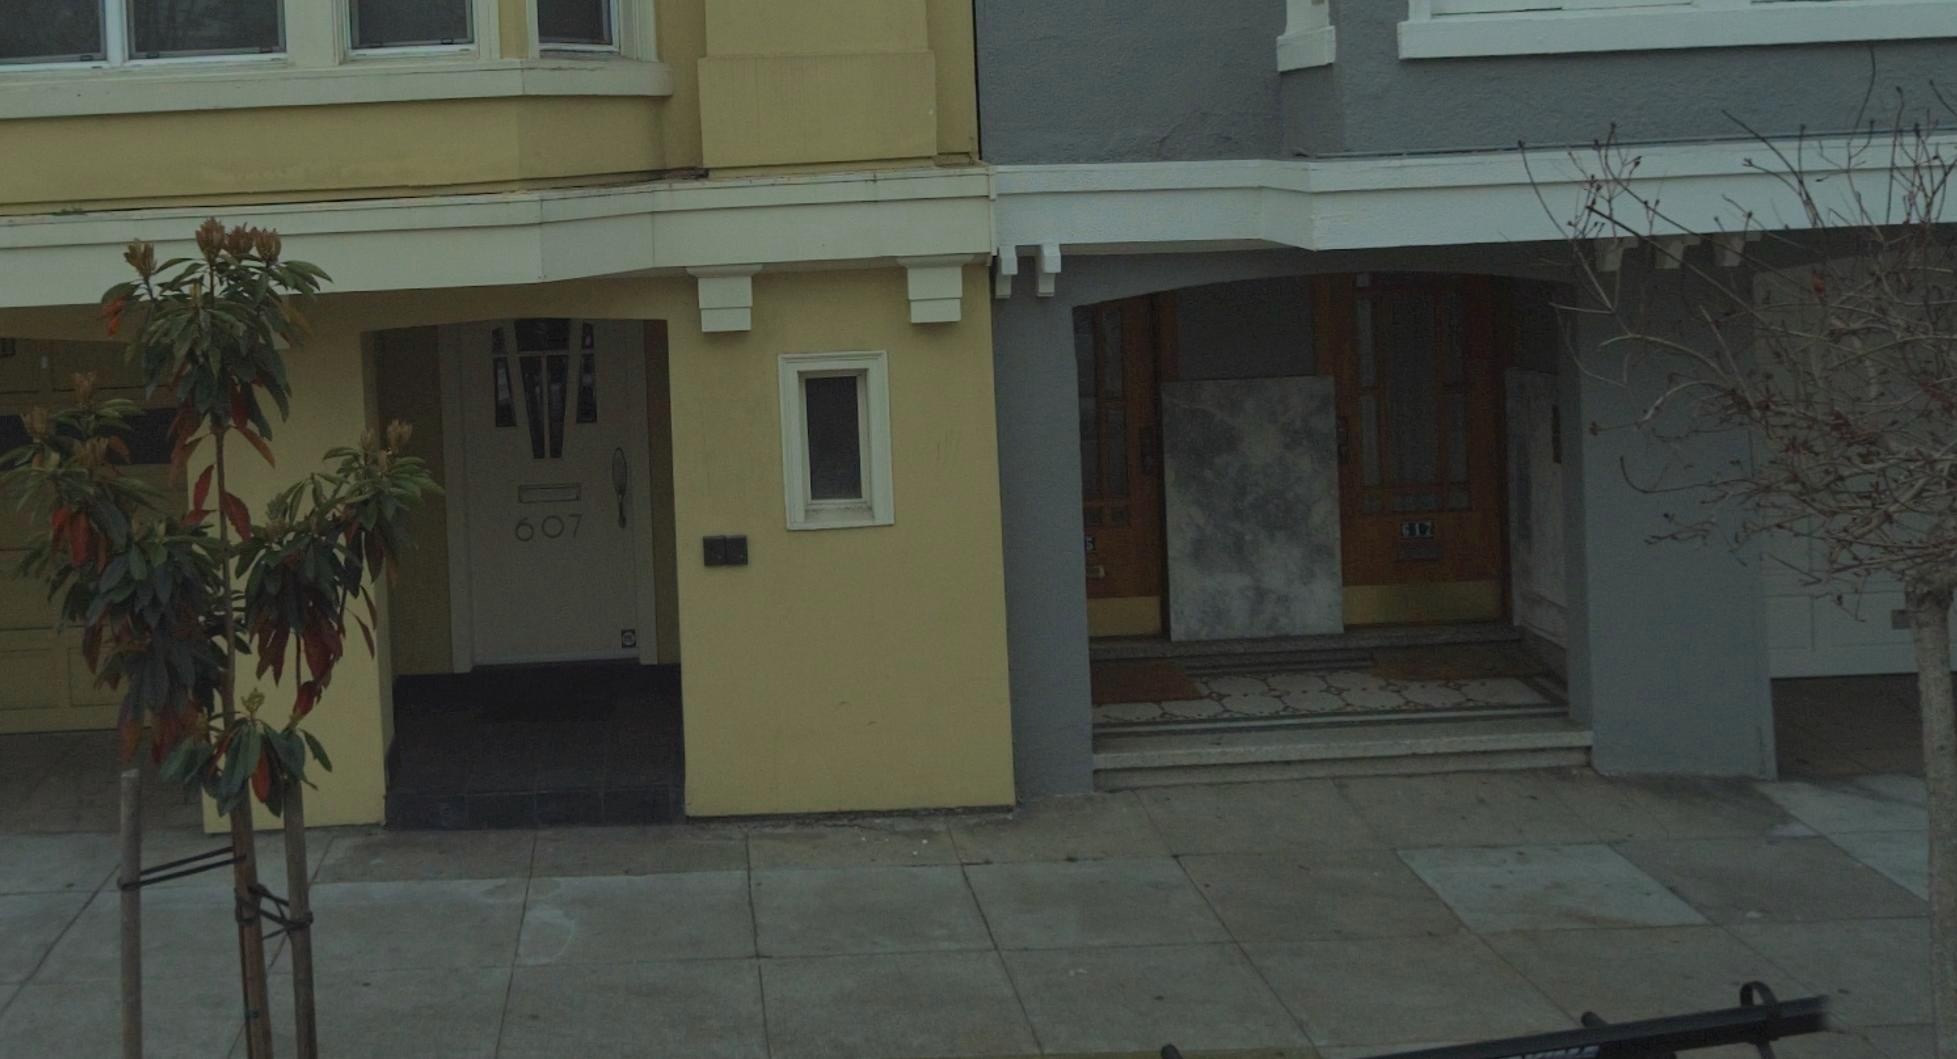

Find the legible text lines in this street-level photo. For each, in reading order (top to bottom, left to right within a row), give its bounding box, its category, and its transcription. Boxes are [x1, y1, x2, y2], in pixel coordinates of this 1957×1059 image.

[513, 512, 584, 543] StreetNumber: 607
[1401, 521, 1435, 539] StreetNumber: 617
[1084, 534, 1095, 552] StreetNumber: 5